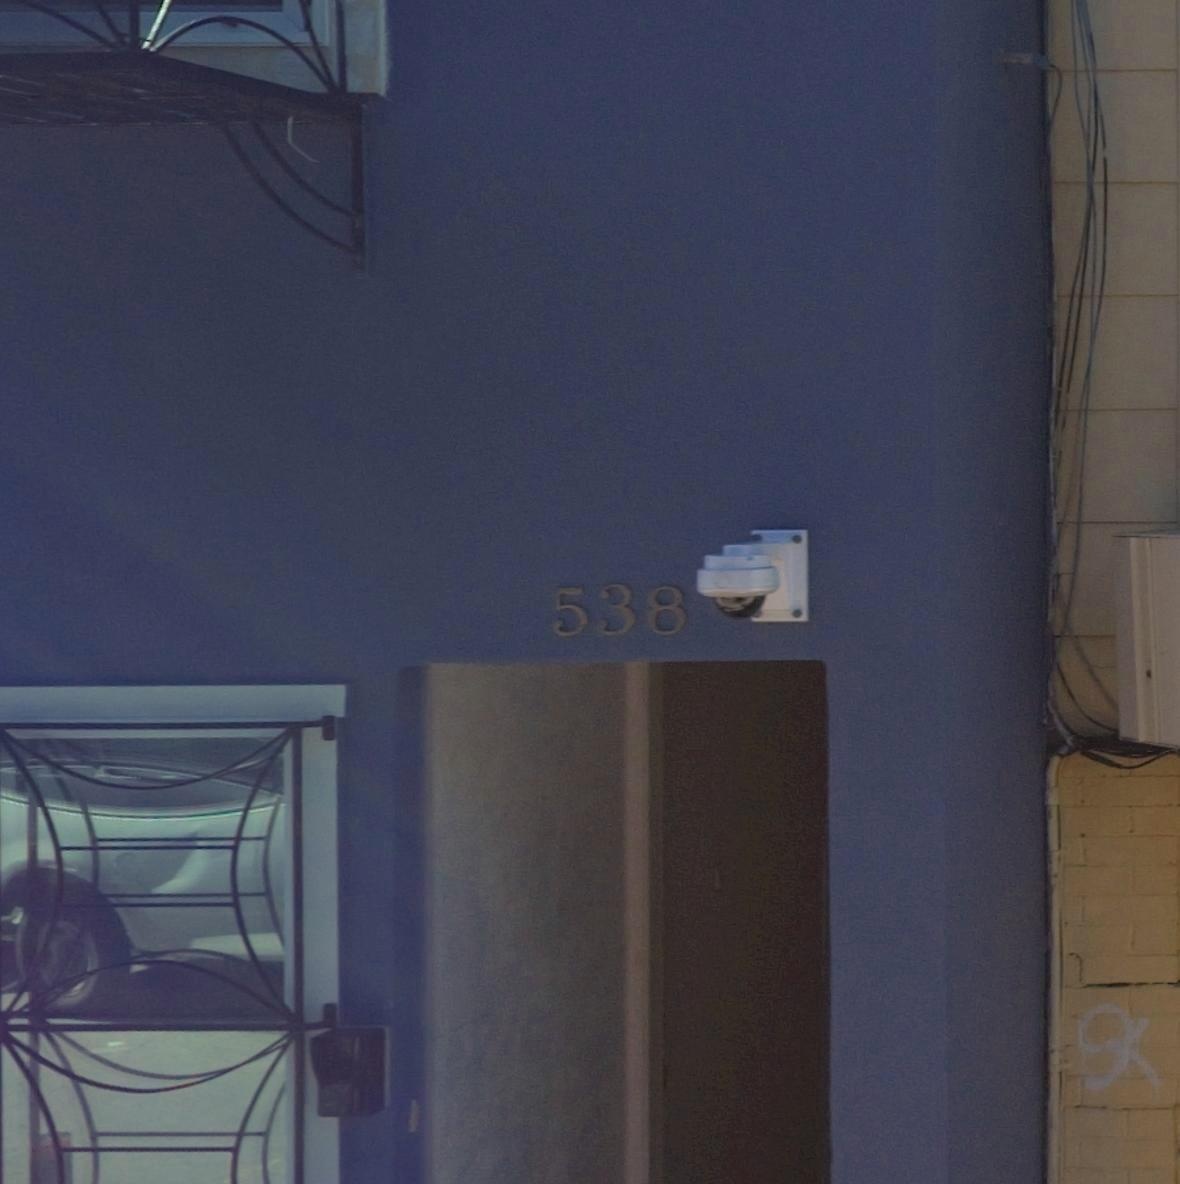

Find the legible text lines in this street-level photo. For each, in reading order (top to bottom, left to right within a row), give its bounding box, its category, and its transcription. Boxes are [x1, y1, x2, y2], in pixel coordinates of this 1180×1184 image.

[552, 583, 689, 640] StreetNumber: 538